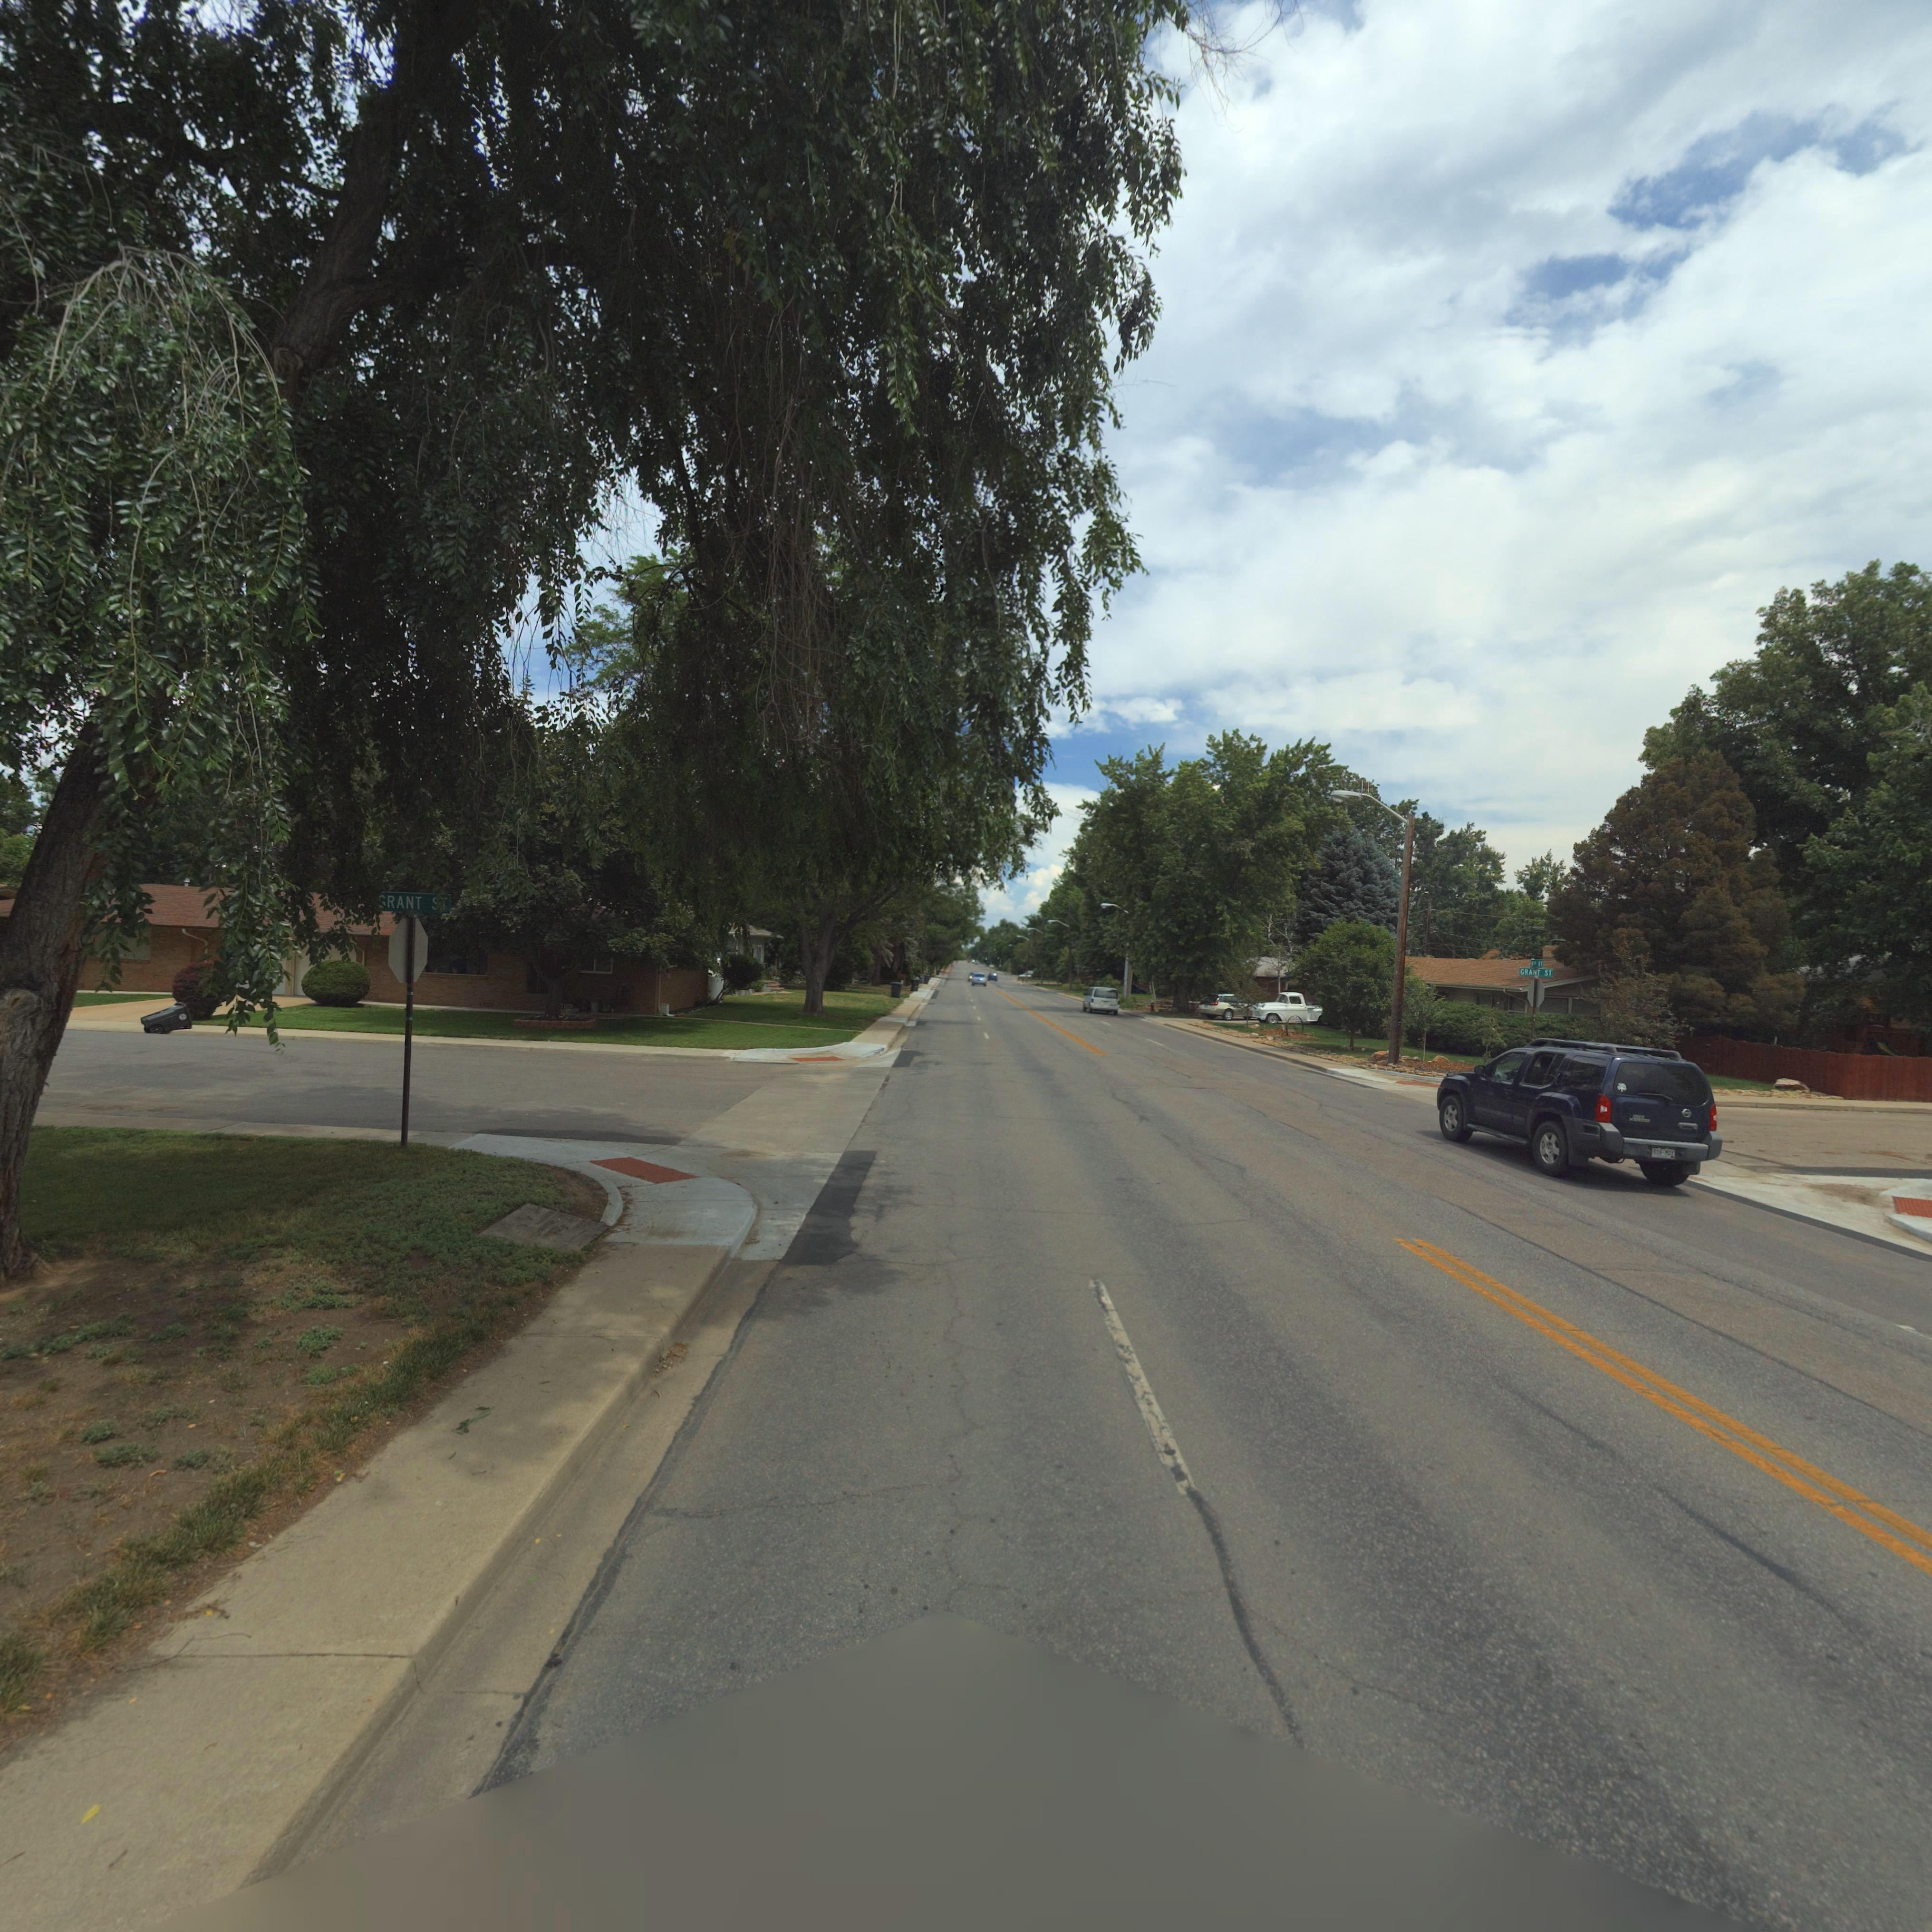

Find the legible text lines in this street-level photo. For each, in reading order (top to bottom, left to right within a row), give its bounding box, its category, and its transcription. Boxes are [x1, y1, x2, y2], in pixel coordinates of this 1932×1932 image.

[377, 893, 449, 912] StreetName: GRANT S*
[1530, 960, 1543, 967] StreetName: 9** A*
[1519, 968, 1552, 976] StreetName: GRANT ST